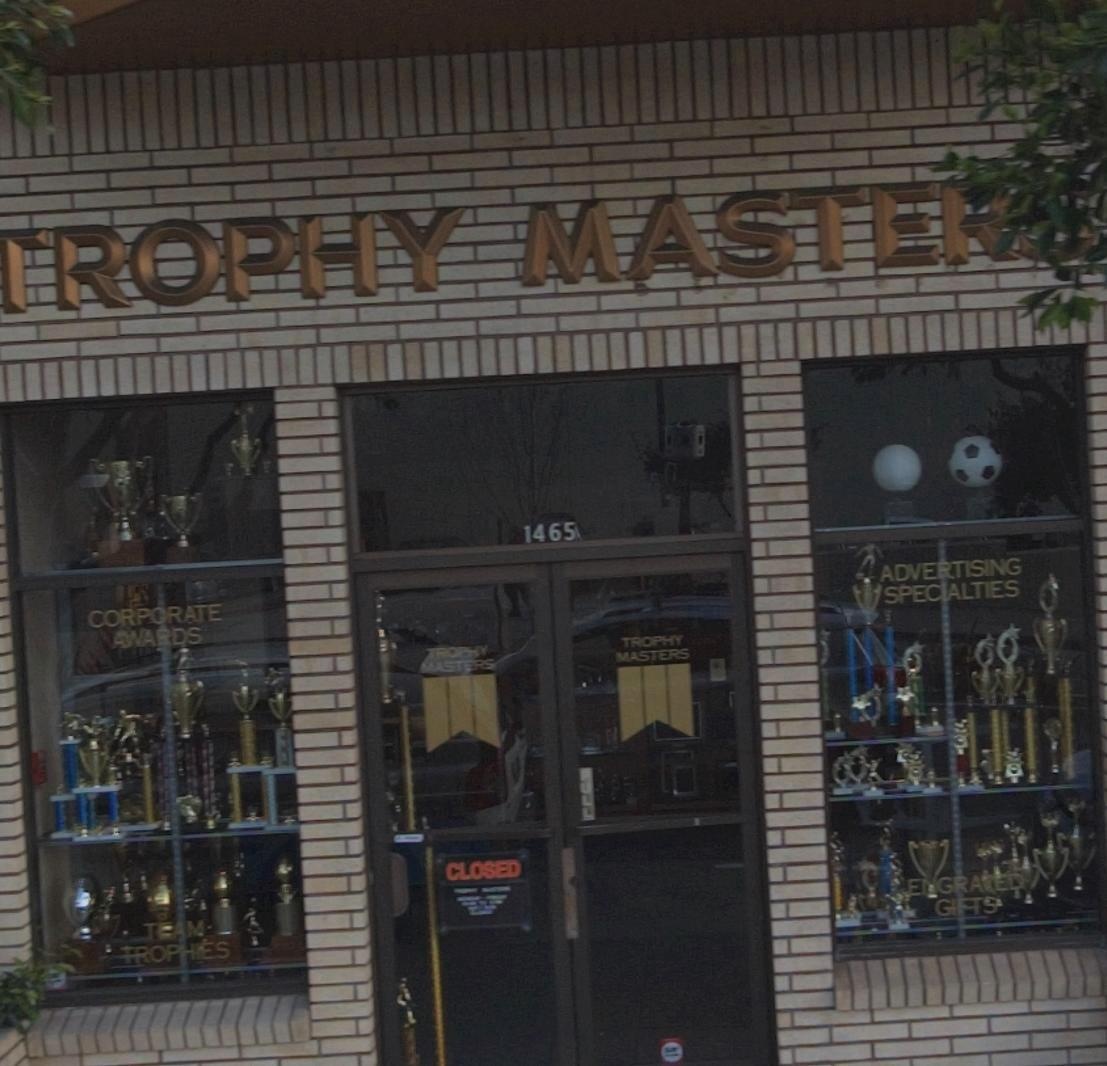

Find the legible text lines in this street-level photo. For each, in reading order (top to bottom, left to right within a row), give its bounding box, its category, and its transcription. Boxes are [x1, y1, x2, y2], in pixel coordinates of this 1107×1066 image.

[49, 178, 944, 314] BusinessName: ROPHY MASTE
[523, 521, 577, 544] StreetNumber: 1465
[878, 555, 1024, 585] None: ADVERTISING
[883, 578, 1022, 606] None: SPEC*ALTIESS
[86, 602, 223, 630] None: CORPORATE
[111, 625, 202, 650] None: AWARDS
[423, 643, 490, 661] BusinessName: TROPHY
[419, 657, 496, 674] BusinessName: MASTERS
[620, 633, 685, 650] BusinessName: TROPHY
[614, 647, 691, 665] BusinessName: MASTERS
[444, 857, 523, 883] None: CLOSED
[907, 871, 1026, 897] None: E*GRA*ED
[933, 895, 999, 918] None: GIFTS
[140, 917, 206, 943] None: TEAM
[119, 939, 232, 967] None: TROPHIES